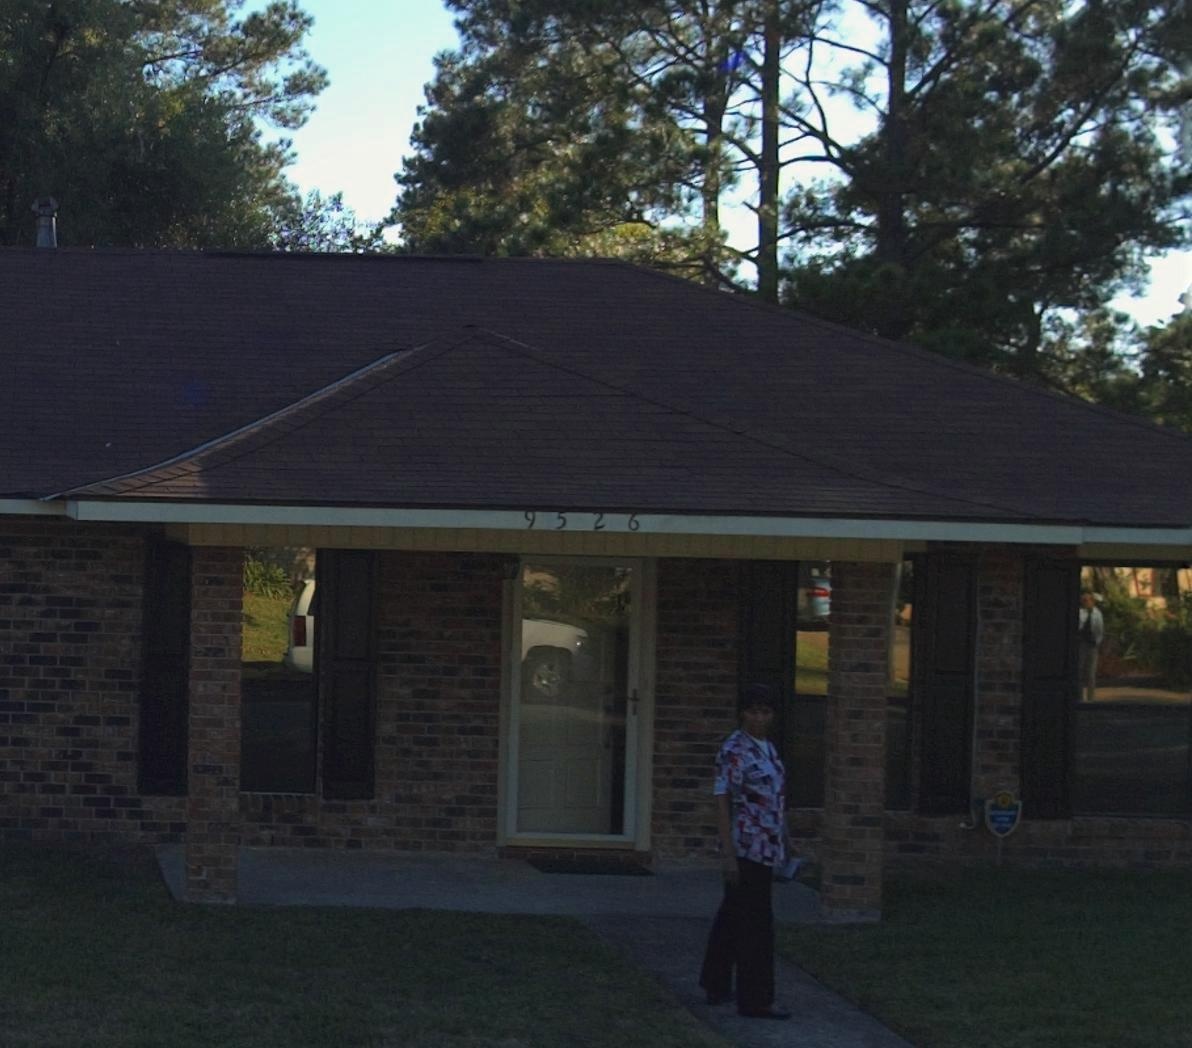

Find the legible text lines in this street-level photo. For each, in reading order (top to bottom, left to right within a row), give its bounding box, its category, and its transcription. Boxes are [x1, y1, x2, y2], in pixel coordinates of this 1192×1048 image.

[522, 509, 641, 532] StreetNumber: 9526